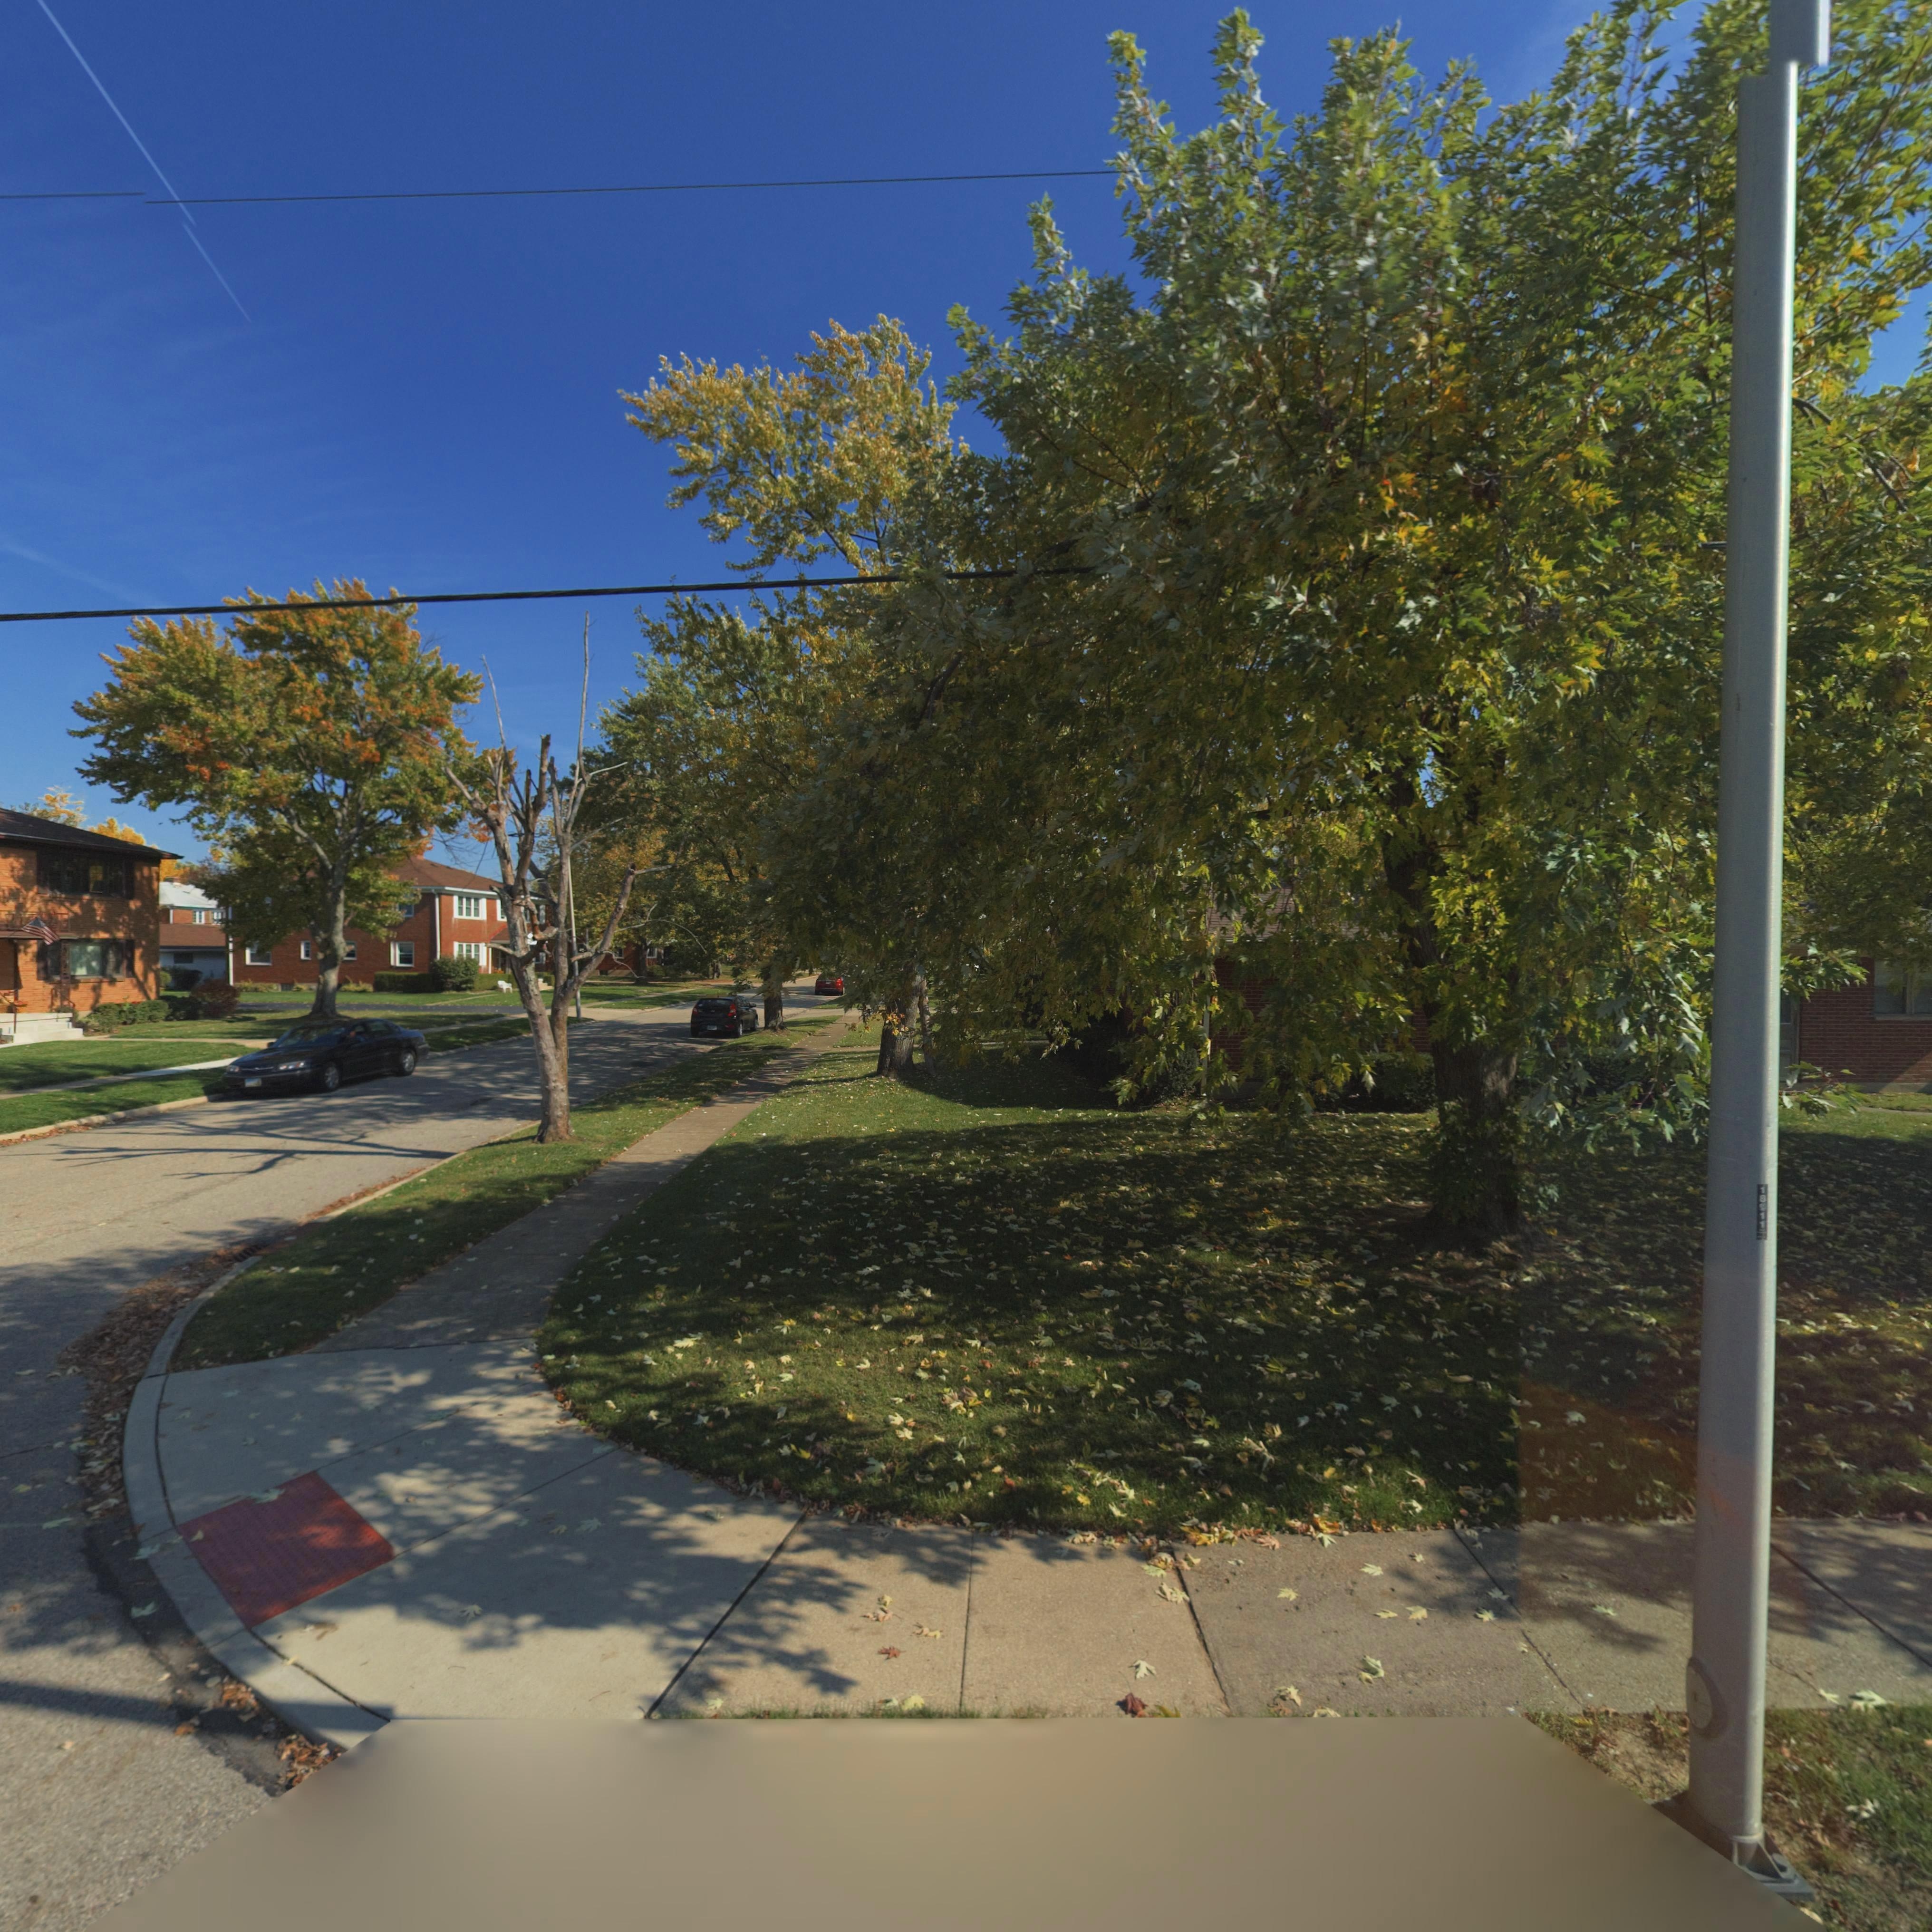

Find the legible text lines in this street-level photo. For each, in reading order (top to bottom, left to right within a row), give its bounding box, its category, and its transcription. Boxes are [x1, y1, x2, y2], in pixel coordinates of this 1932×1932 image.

[1759, 1186, 1766, 1229] None: 18*11